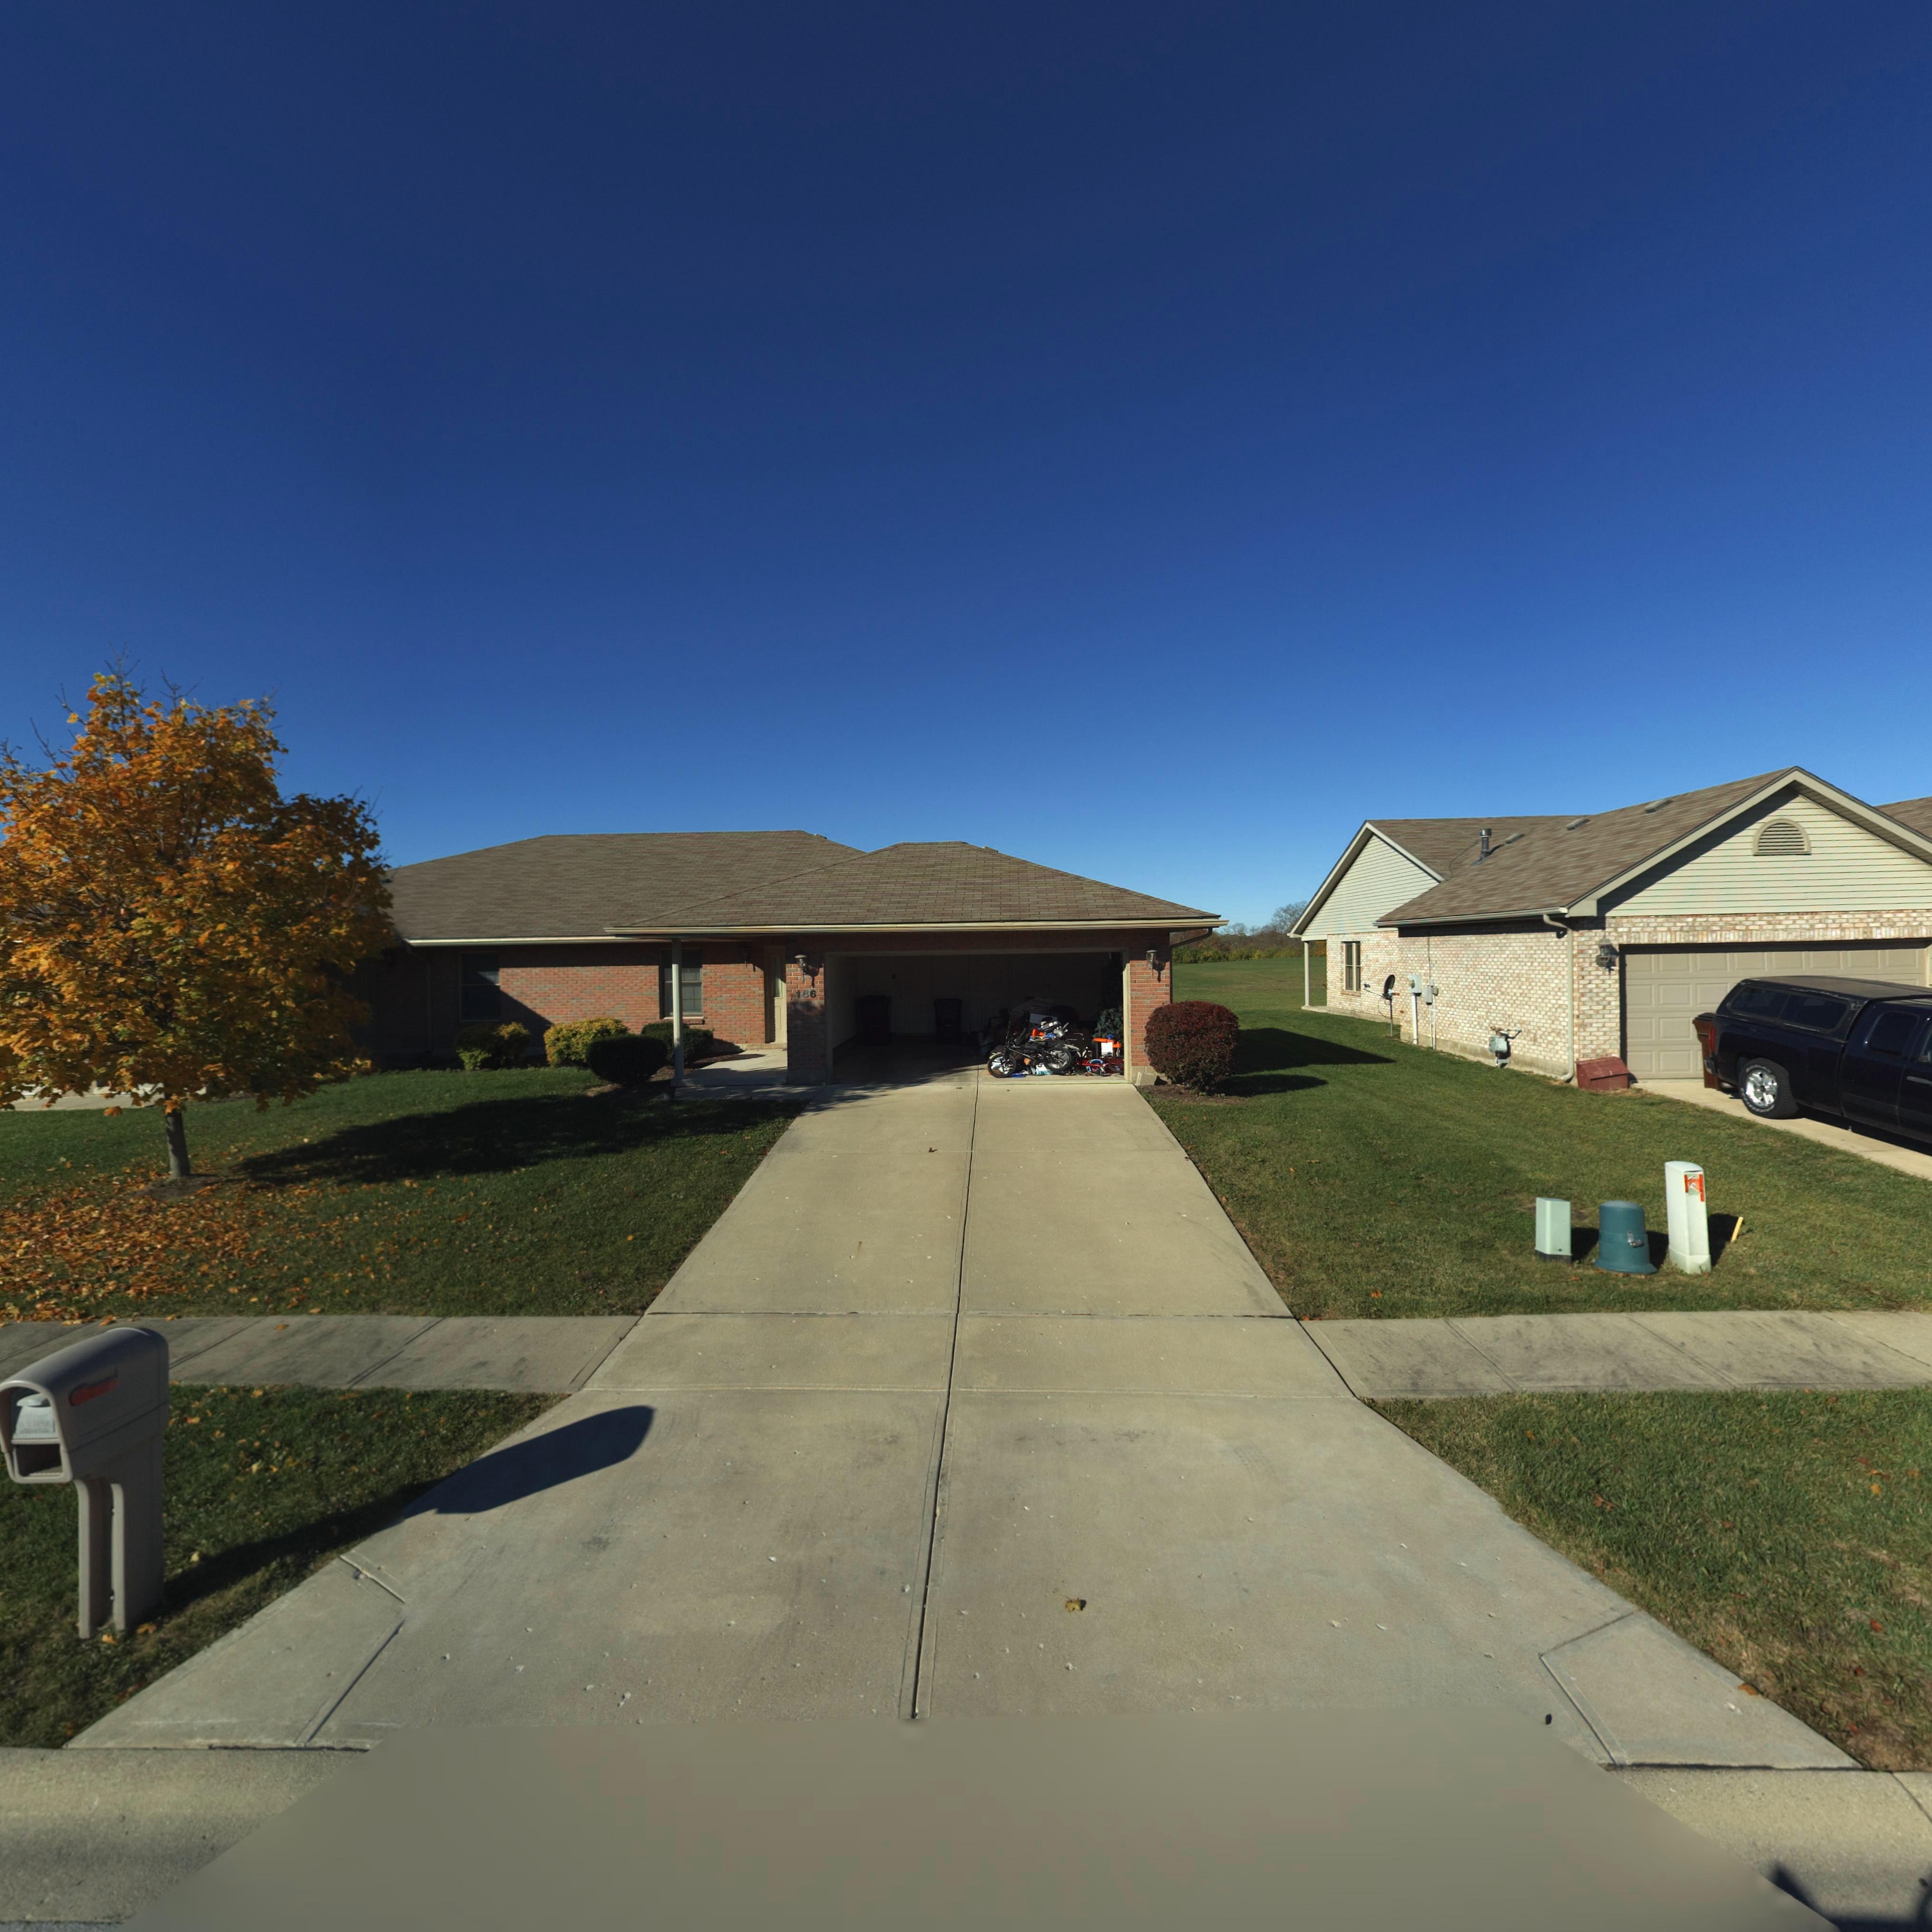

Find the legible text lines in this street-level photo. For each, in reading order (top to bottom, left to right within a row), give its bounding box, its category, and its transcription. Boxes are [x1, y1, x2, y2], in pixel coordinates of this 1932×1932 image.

[795, 989, 817, 999] StreetNumber: 186